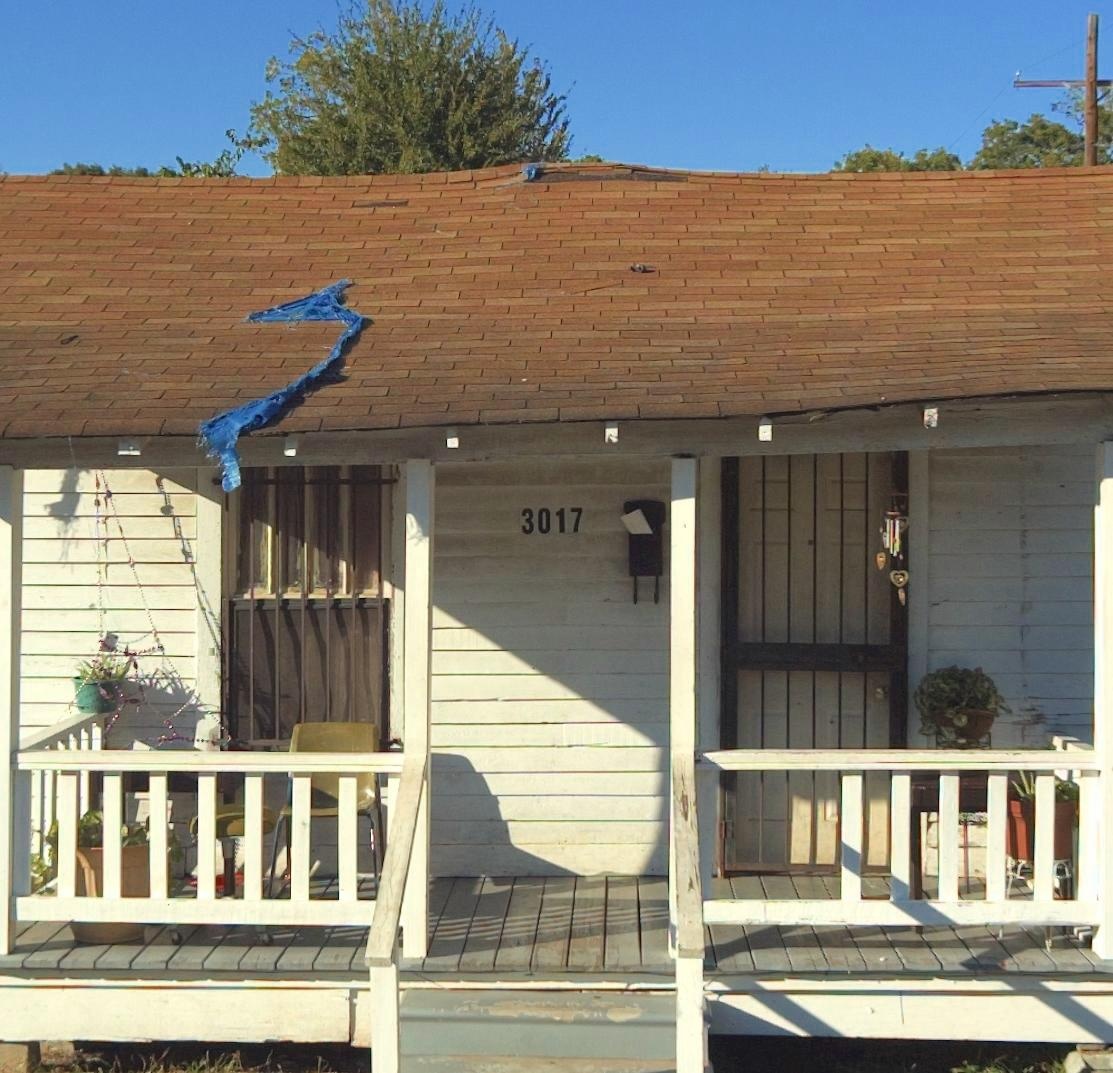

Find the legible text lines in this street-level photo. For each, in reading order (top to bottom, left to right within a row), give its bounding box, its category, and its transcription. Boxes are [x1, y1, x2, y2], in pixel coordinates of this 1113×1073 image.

[519, 505, 587, 536] StreetNumber: 3017